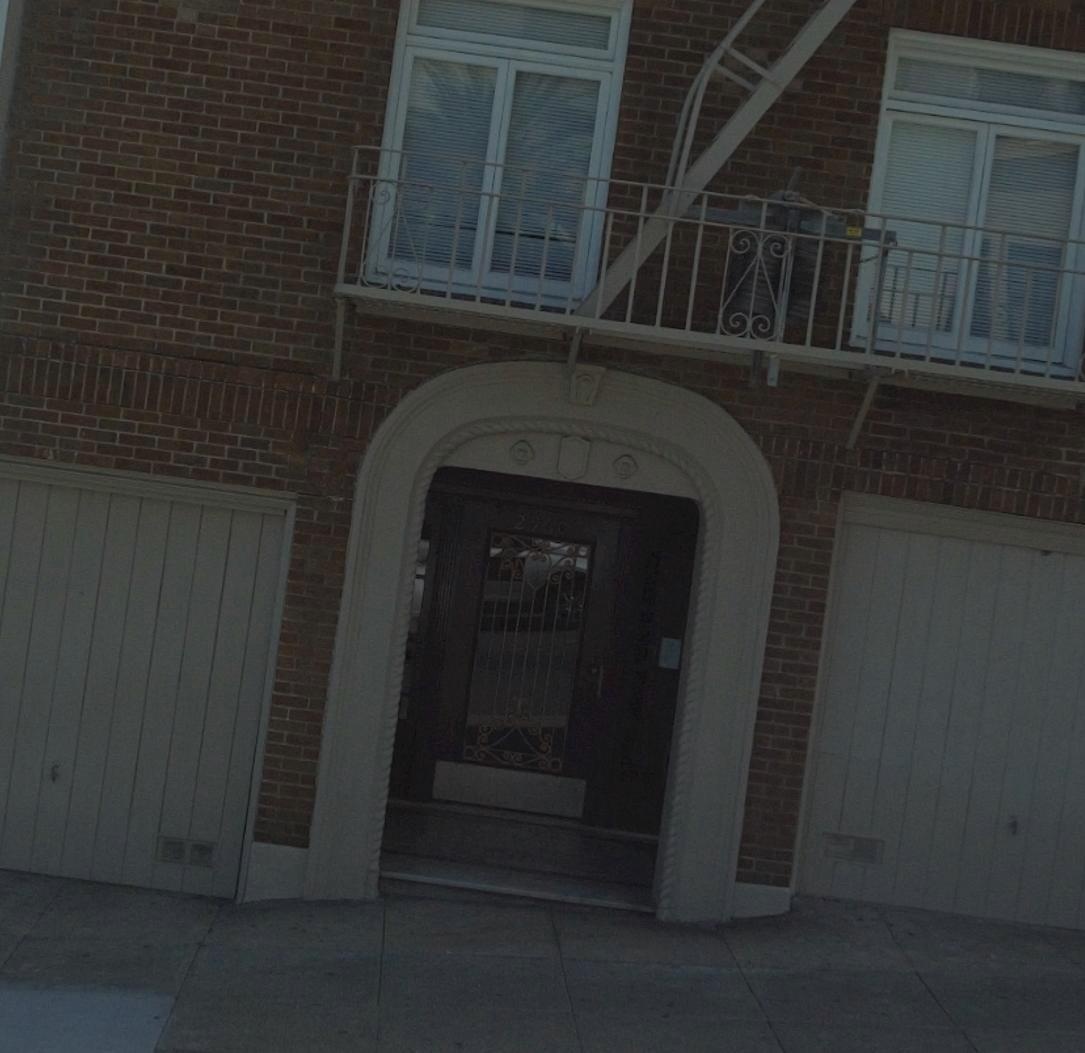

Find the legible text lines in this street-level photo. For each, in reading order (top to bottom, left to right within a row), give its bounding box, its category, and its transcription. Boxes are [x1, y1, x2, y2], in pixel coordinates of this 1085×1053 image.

[510, 510, 575, 540] StreetNumber: 2960